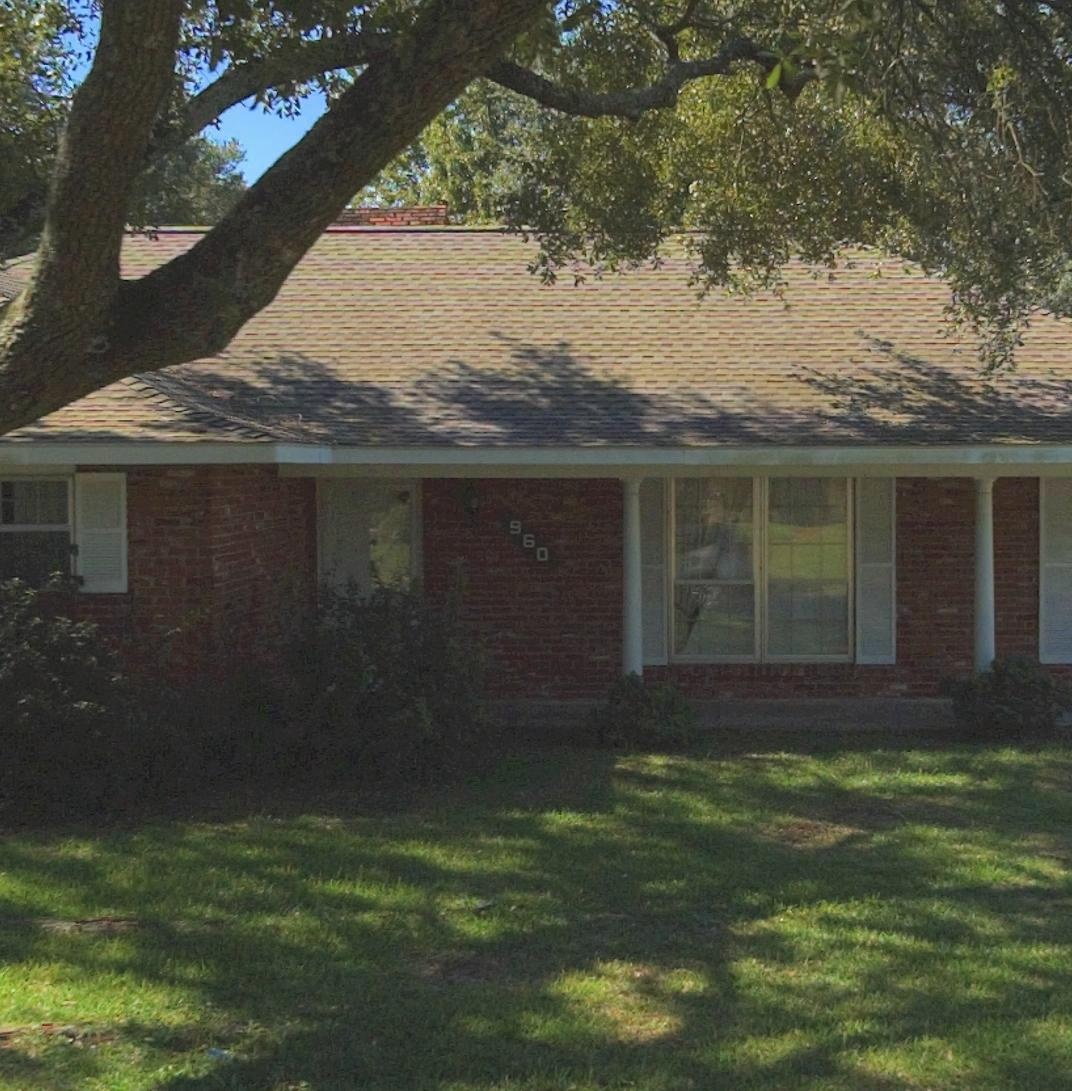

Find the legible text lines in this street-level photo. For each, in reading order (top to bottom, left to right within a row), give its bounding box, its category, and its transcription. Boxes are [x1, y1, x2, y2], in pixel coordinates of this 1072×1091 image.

[508, 517, 551, 566] StreetNumber: 960